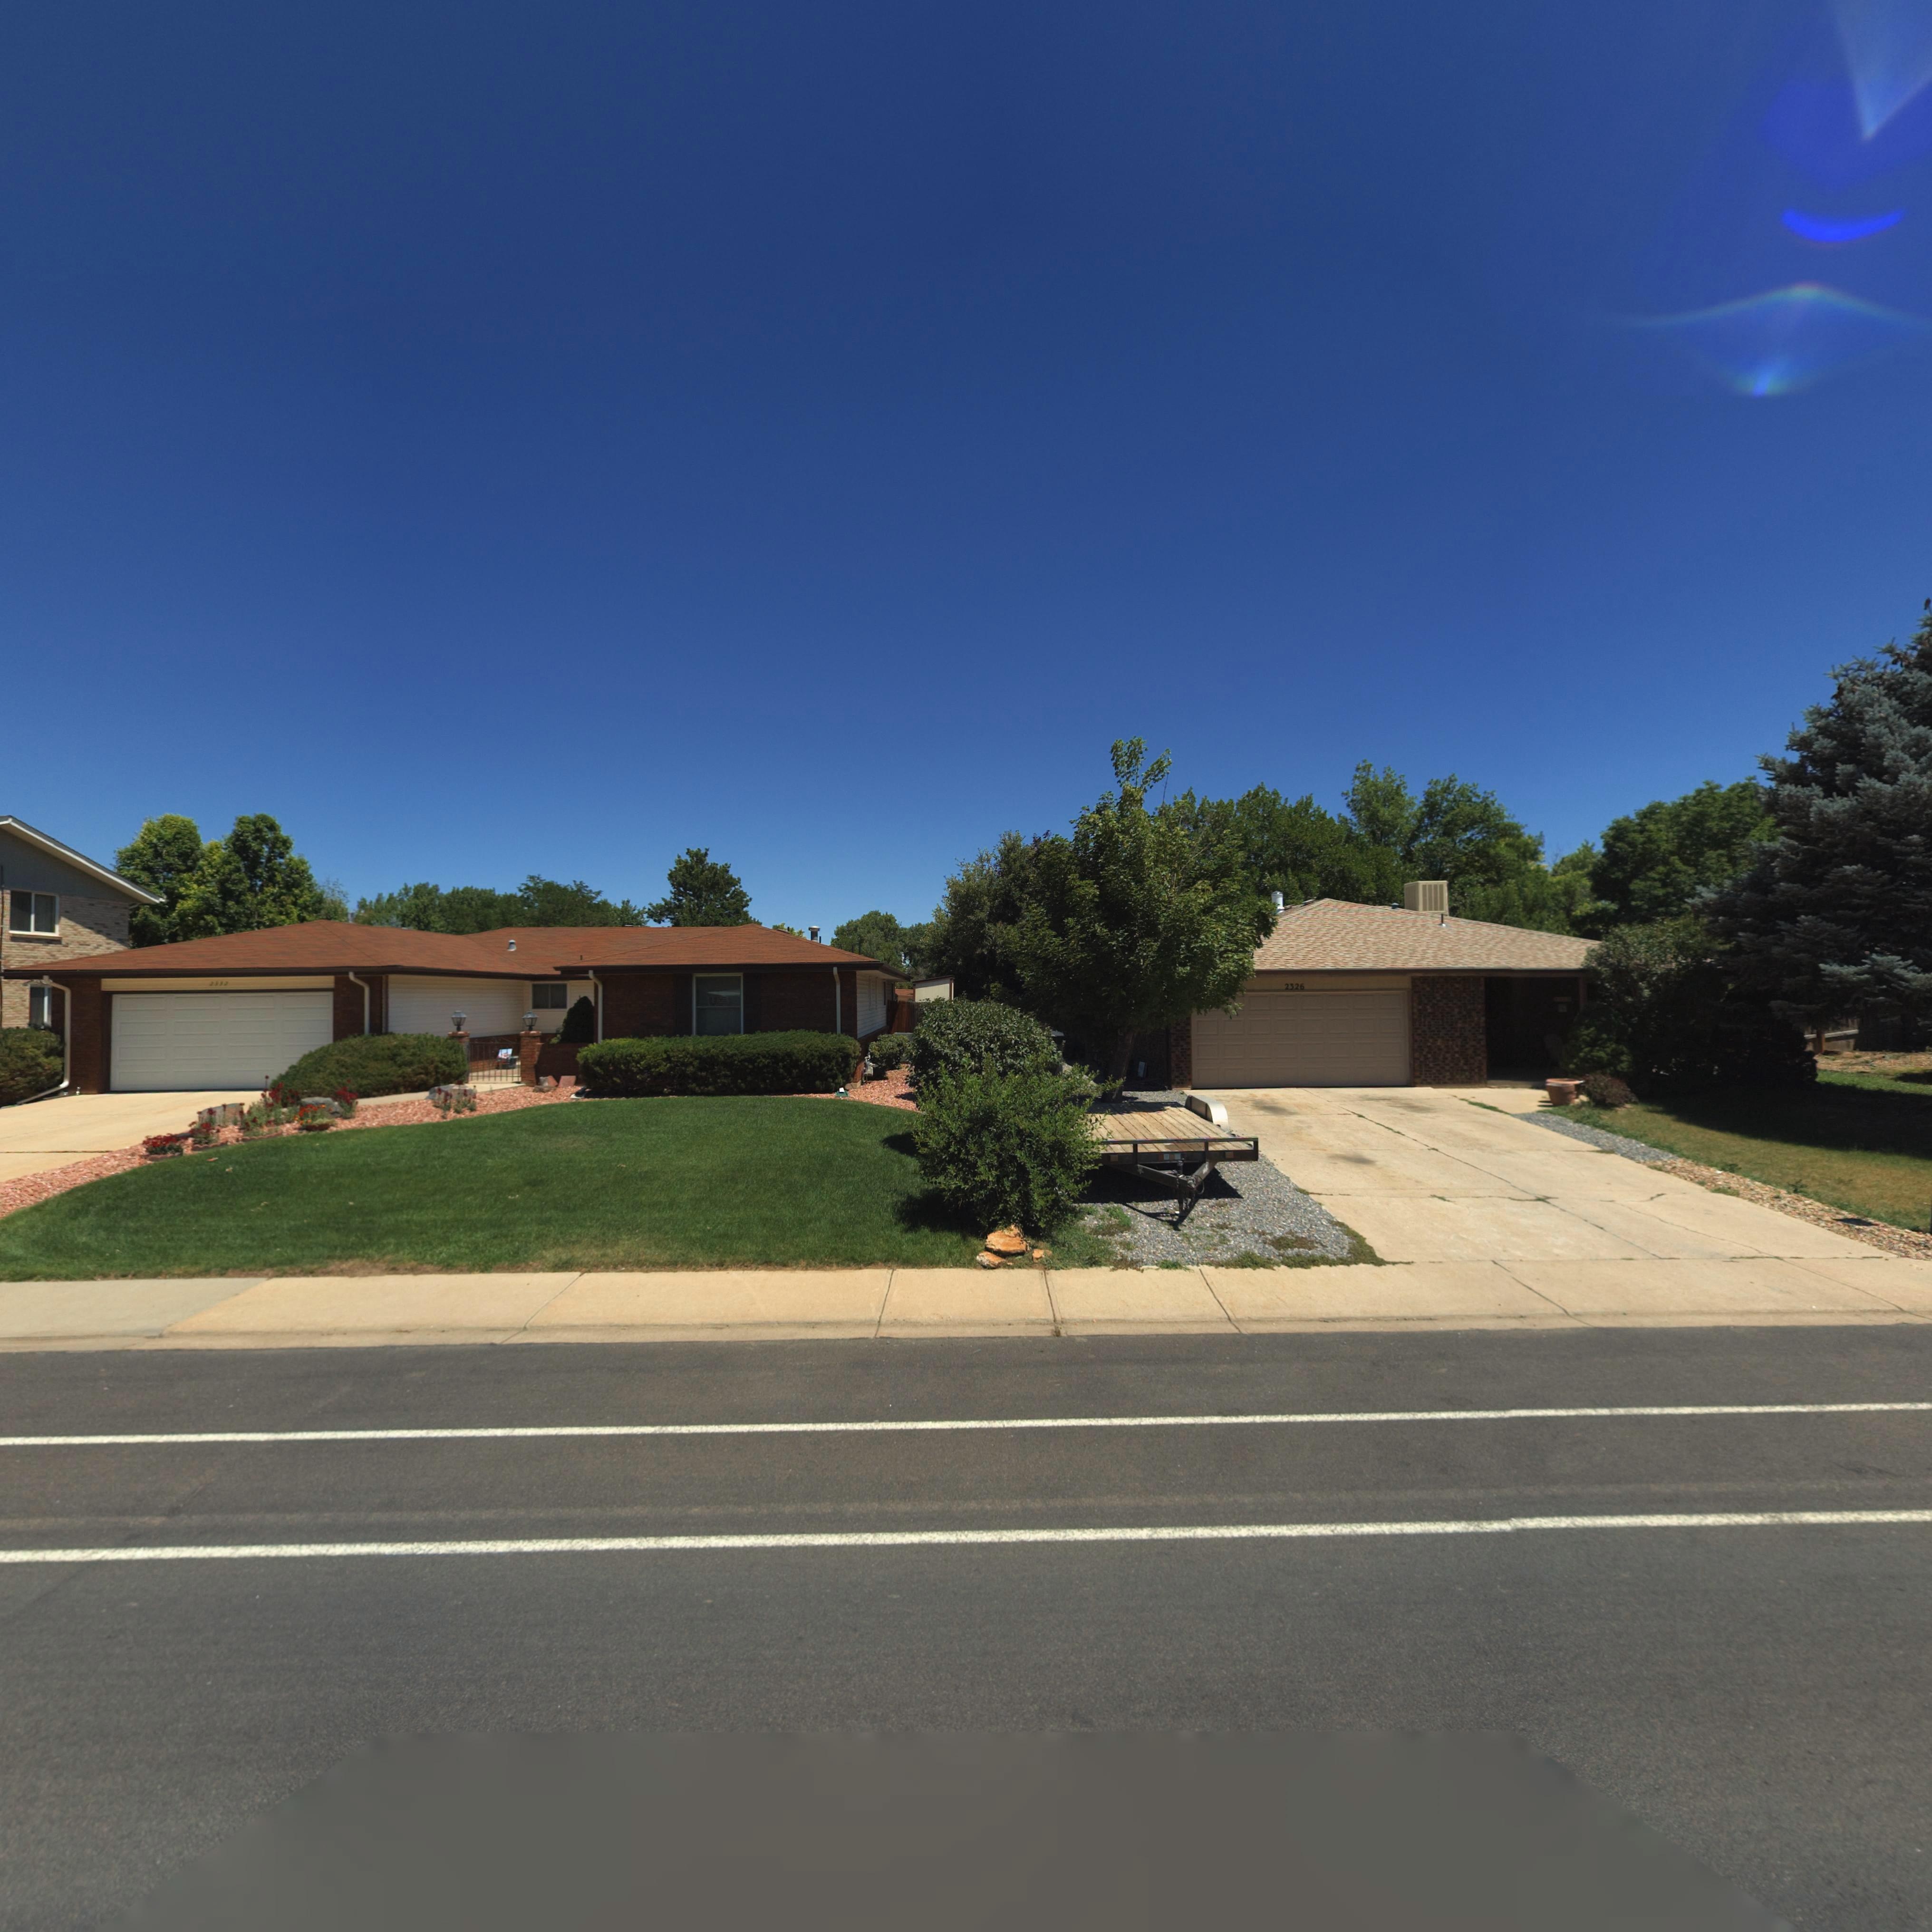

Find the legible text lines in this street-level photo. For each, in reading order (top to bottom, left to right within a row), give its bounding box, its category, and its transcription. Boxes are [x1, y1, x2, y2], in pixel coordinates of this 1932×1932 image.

[209, 981, 229, 986] StreetNumber: 2332
[1284, 983, 1304, 990] StreetNumber: 2326